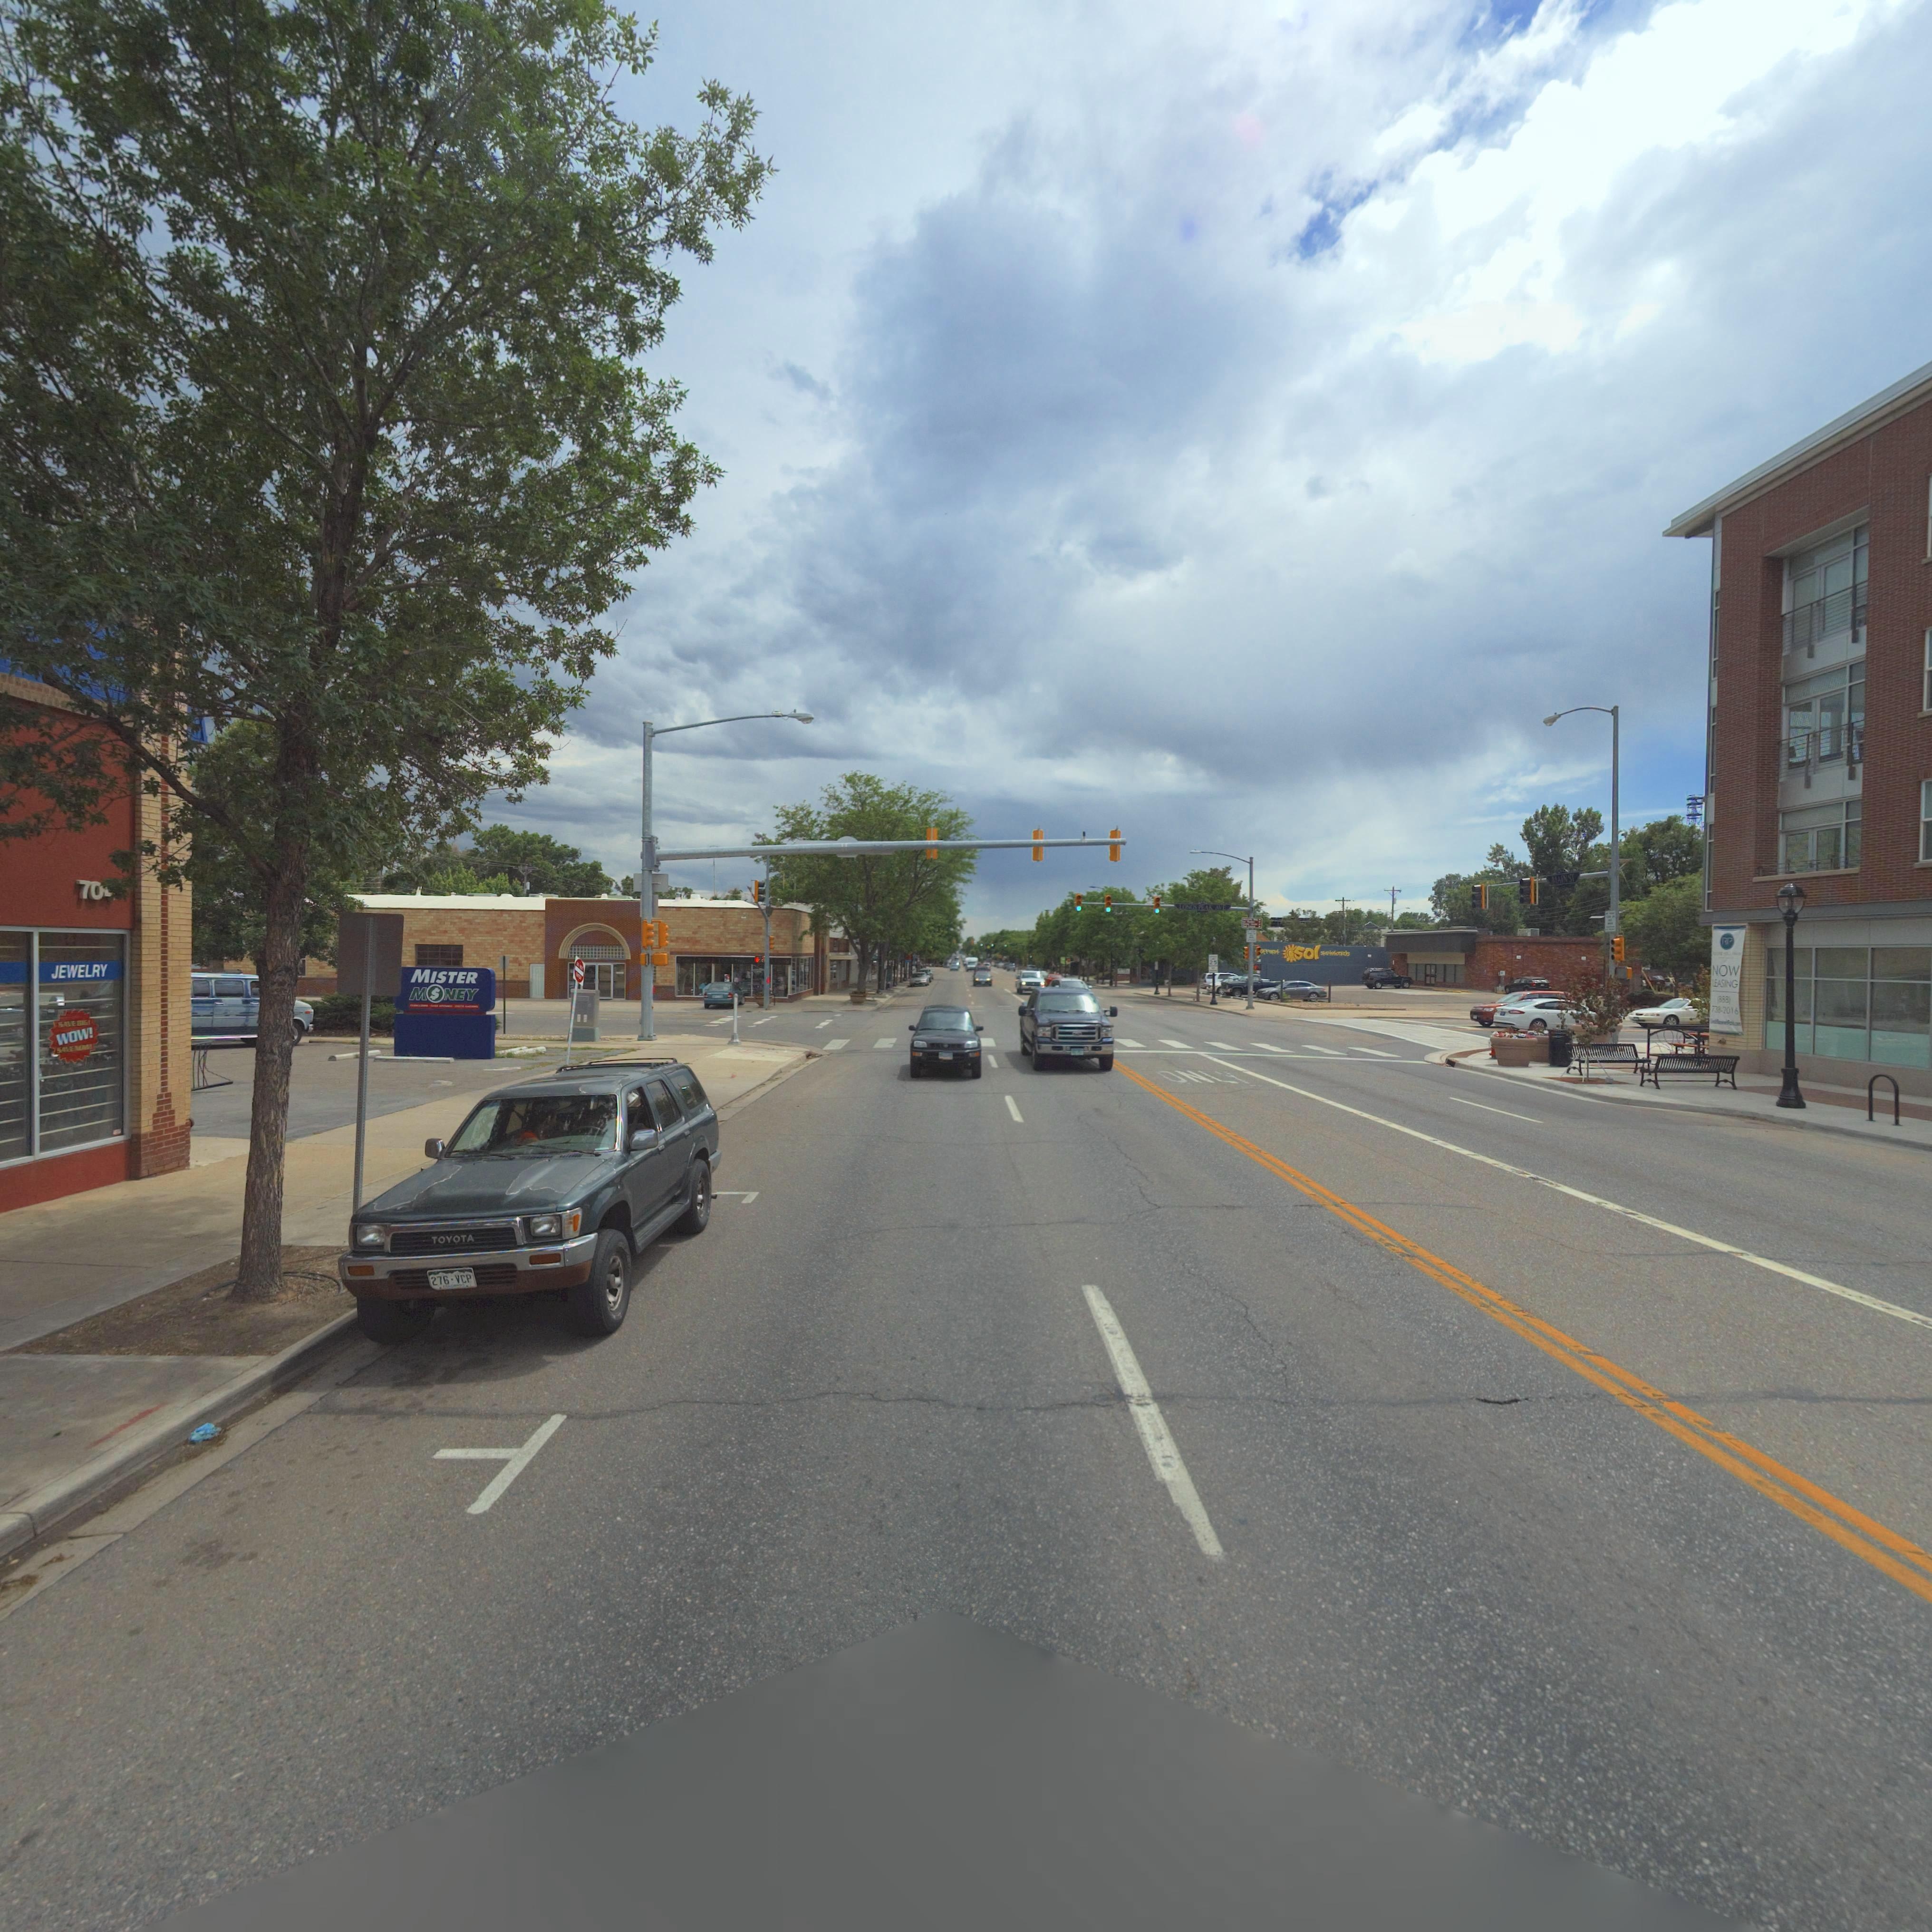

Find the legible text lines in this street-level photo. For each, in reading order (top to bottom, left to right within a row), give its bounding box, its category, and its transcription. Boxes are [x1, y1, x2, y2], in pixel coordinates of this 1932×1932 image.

[1550, 873, 1575, 884] StreetName: MAIN ST
[75, 879, 117, 900] StreetNumber: 70*
[1179, 904, 1226, 910] StreetName: LONGS PEAK AVE
[1293, 944, 1321, 960] BusinessName: sol
[409, 969, 478, 984] BusinessName: MISTER
[408, 986, 480, 1001] BusinessName: M*NEY